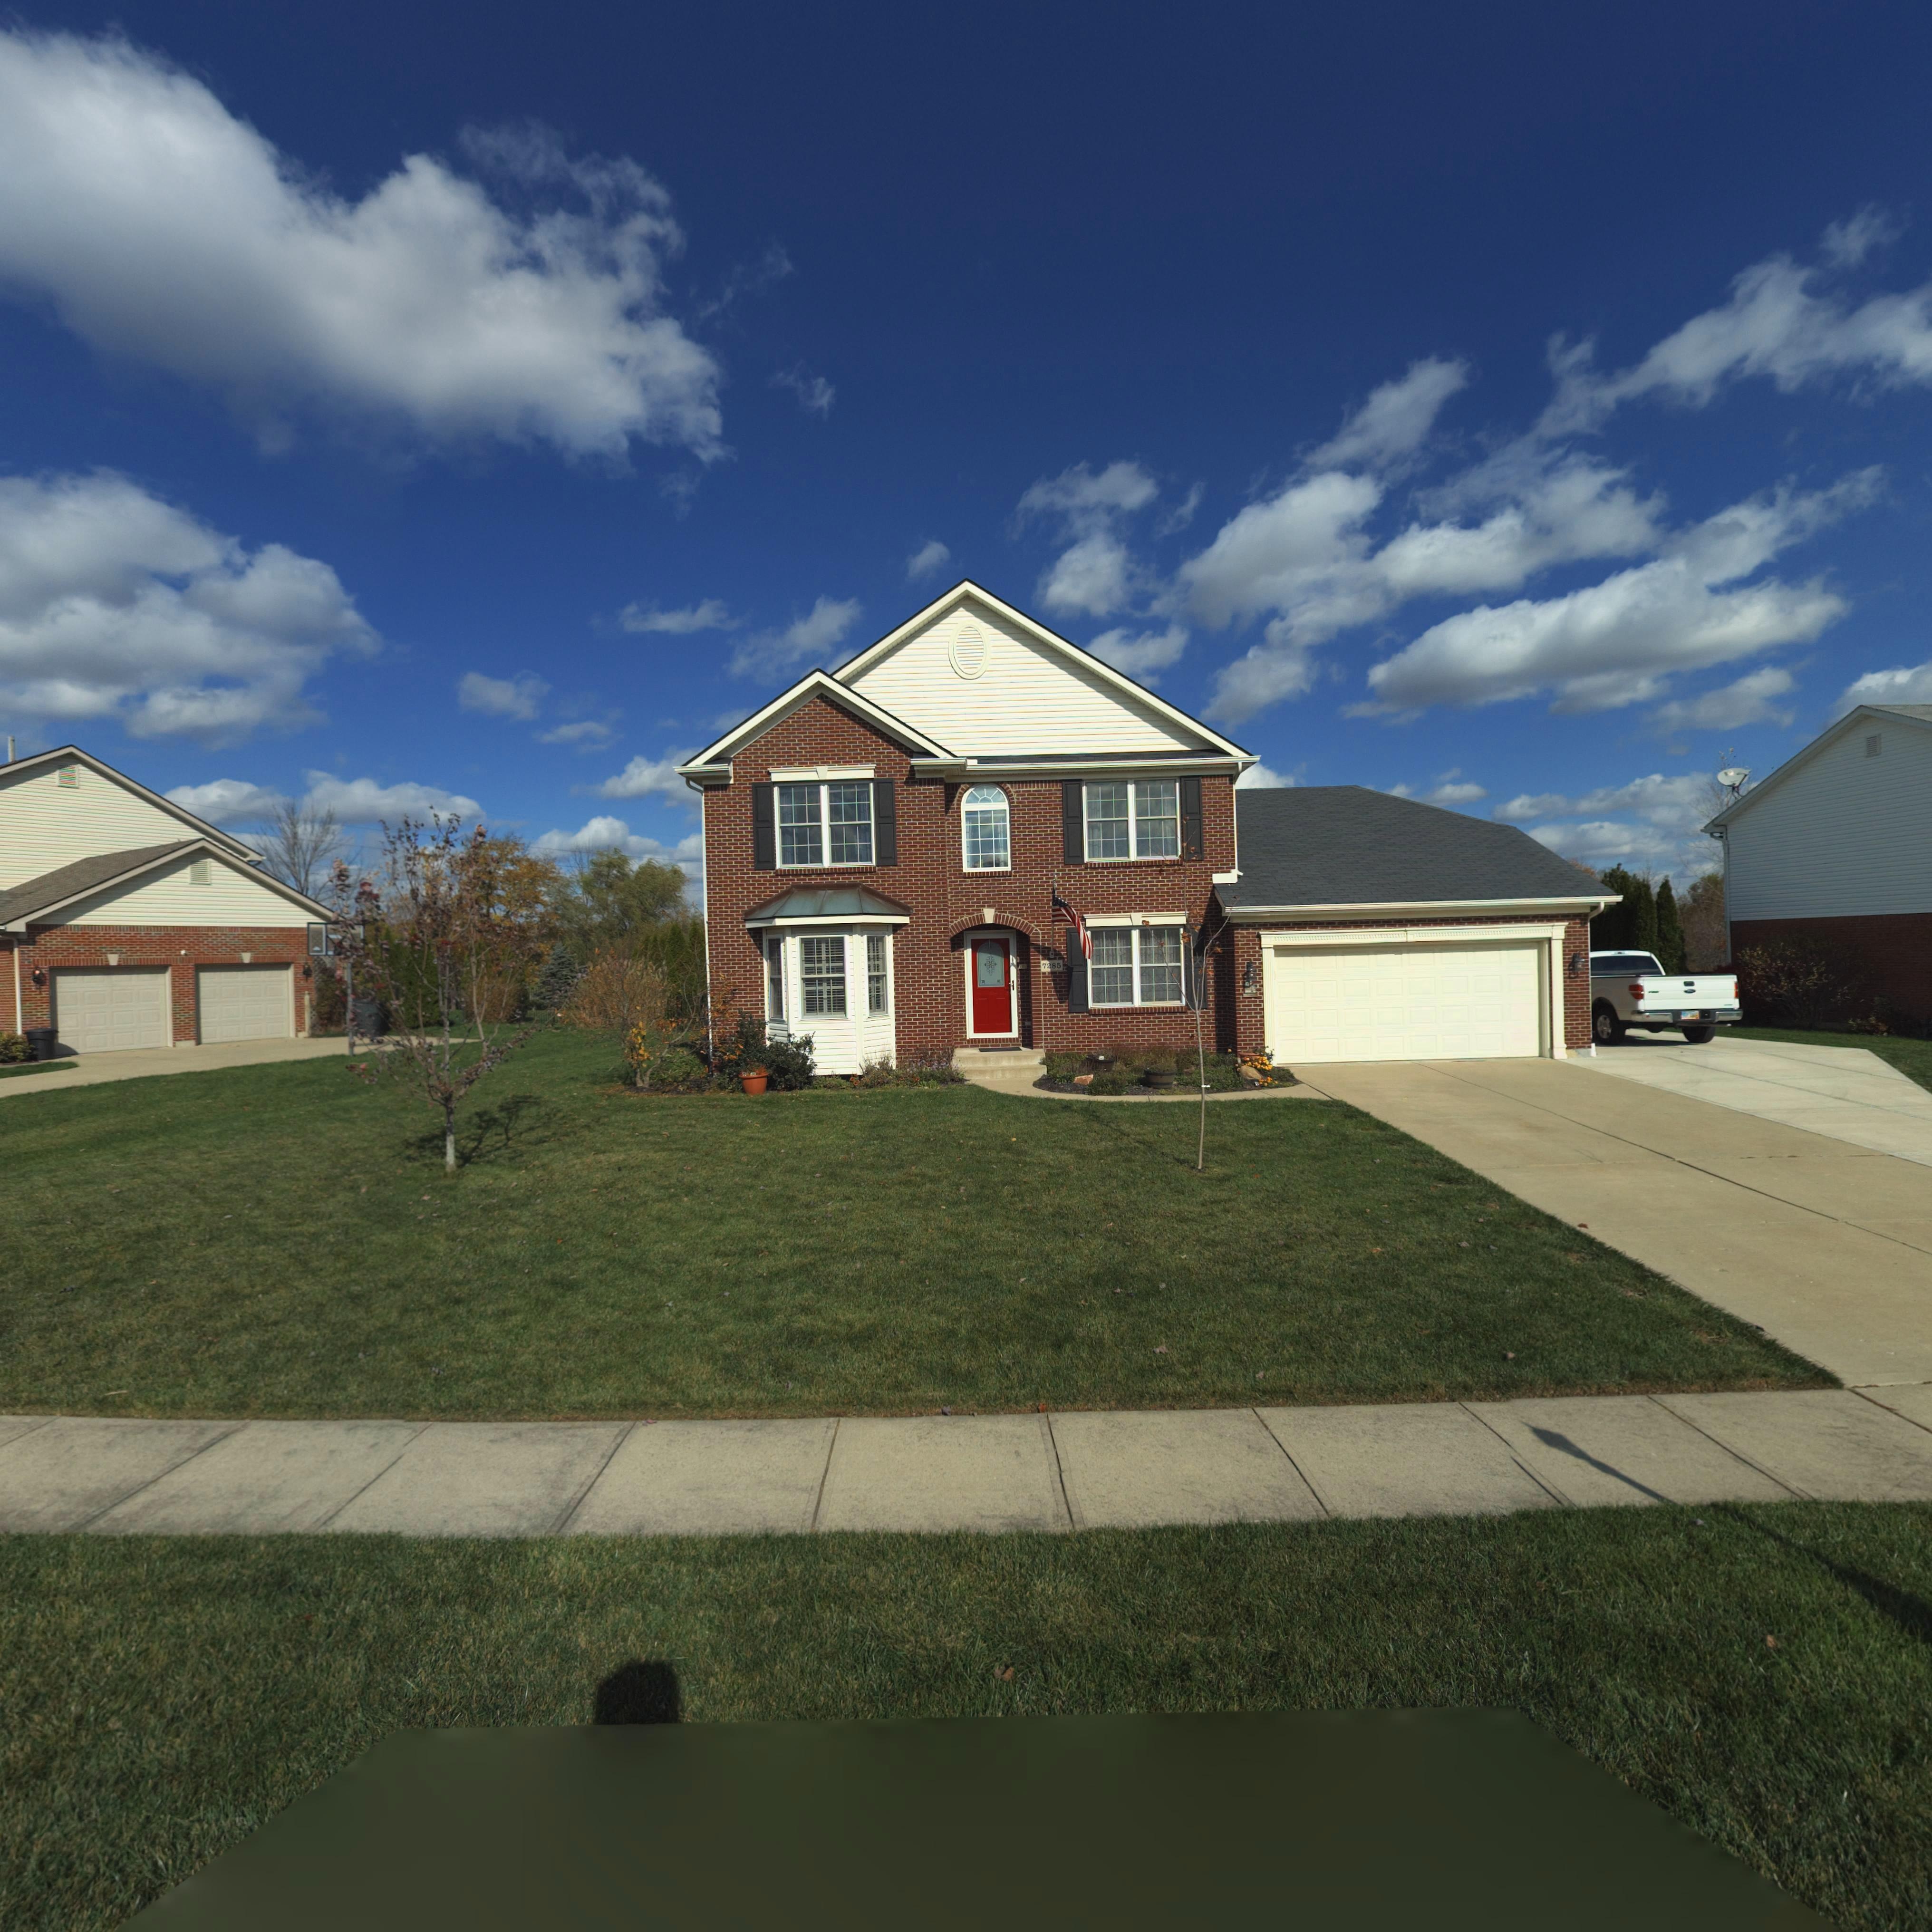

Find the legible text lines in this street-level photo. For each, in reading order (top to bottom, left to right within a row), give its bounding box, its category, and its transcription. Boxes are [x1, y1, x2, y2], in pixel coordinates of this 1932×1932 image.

[1042, 962, 1062, 969] StreetNumber: 7285